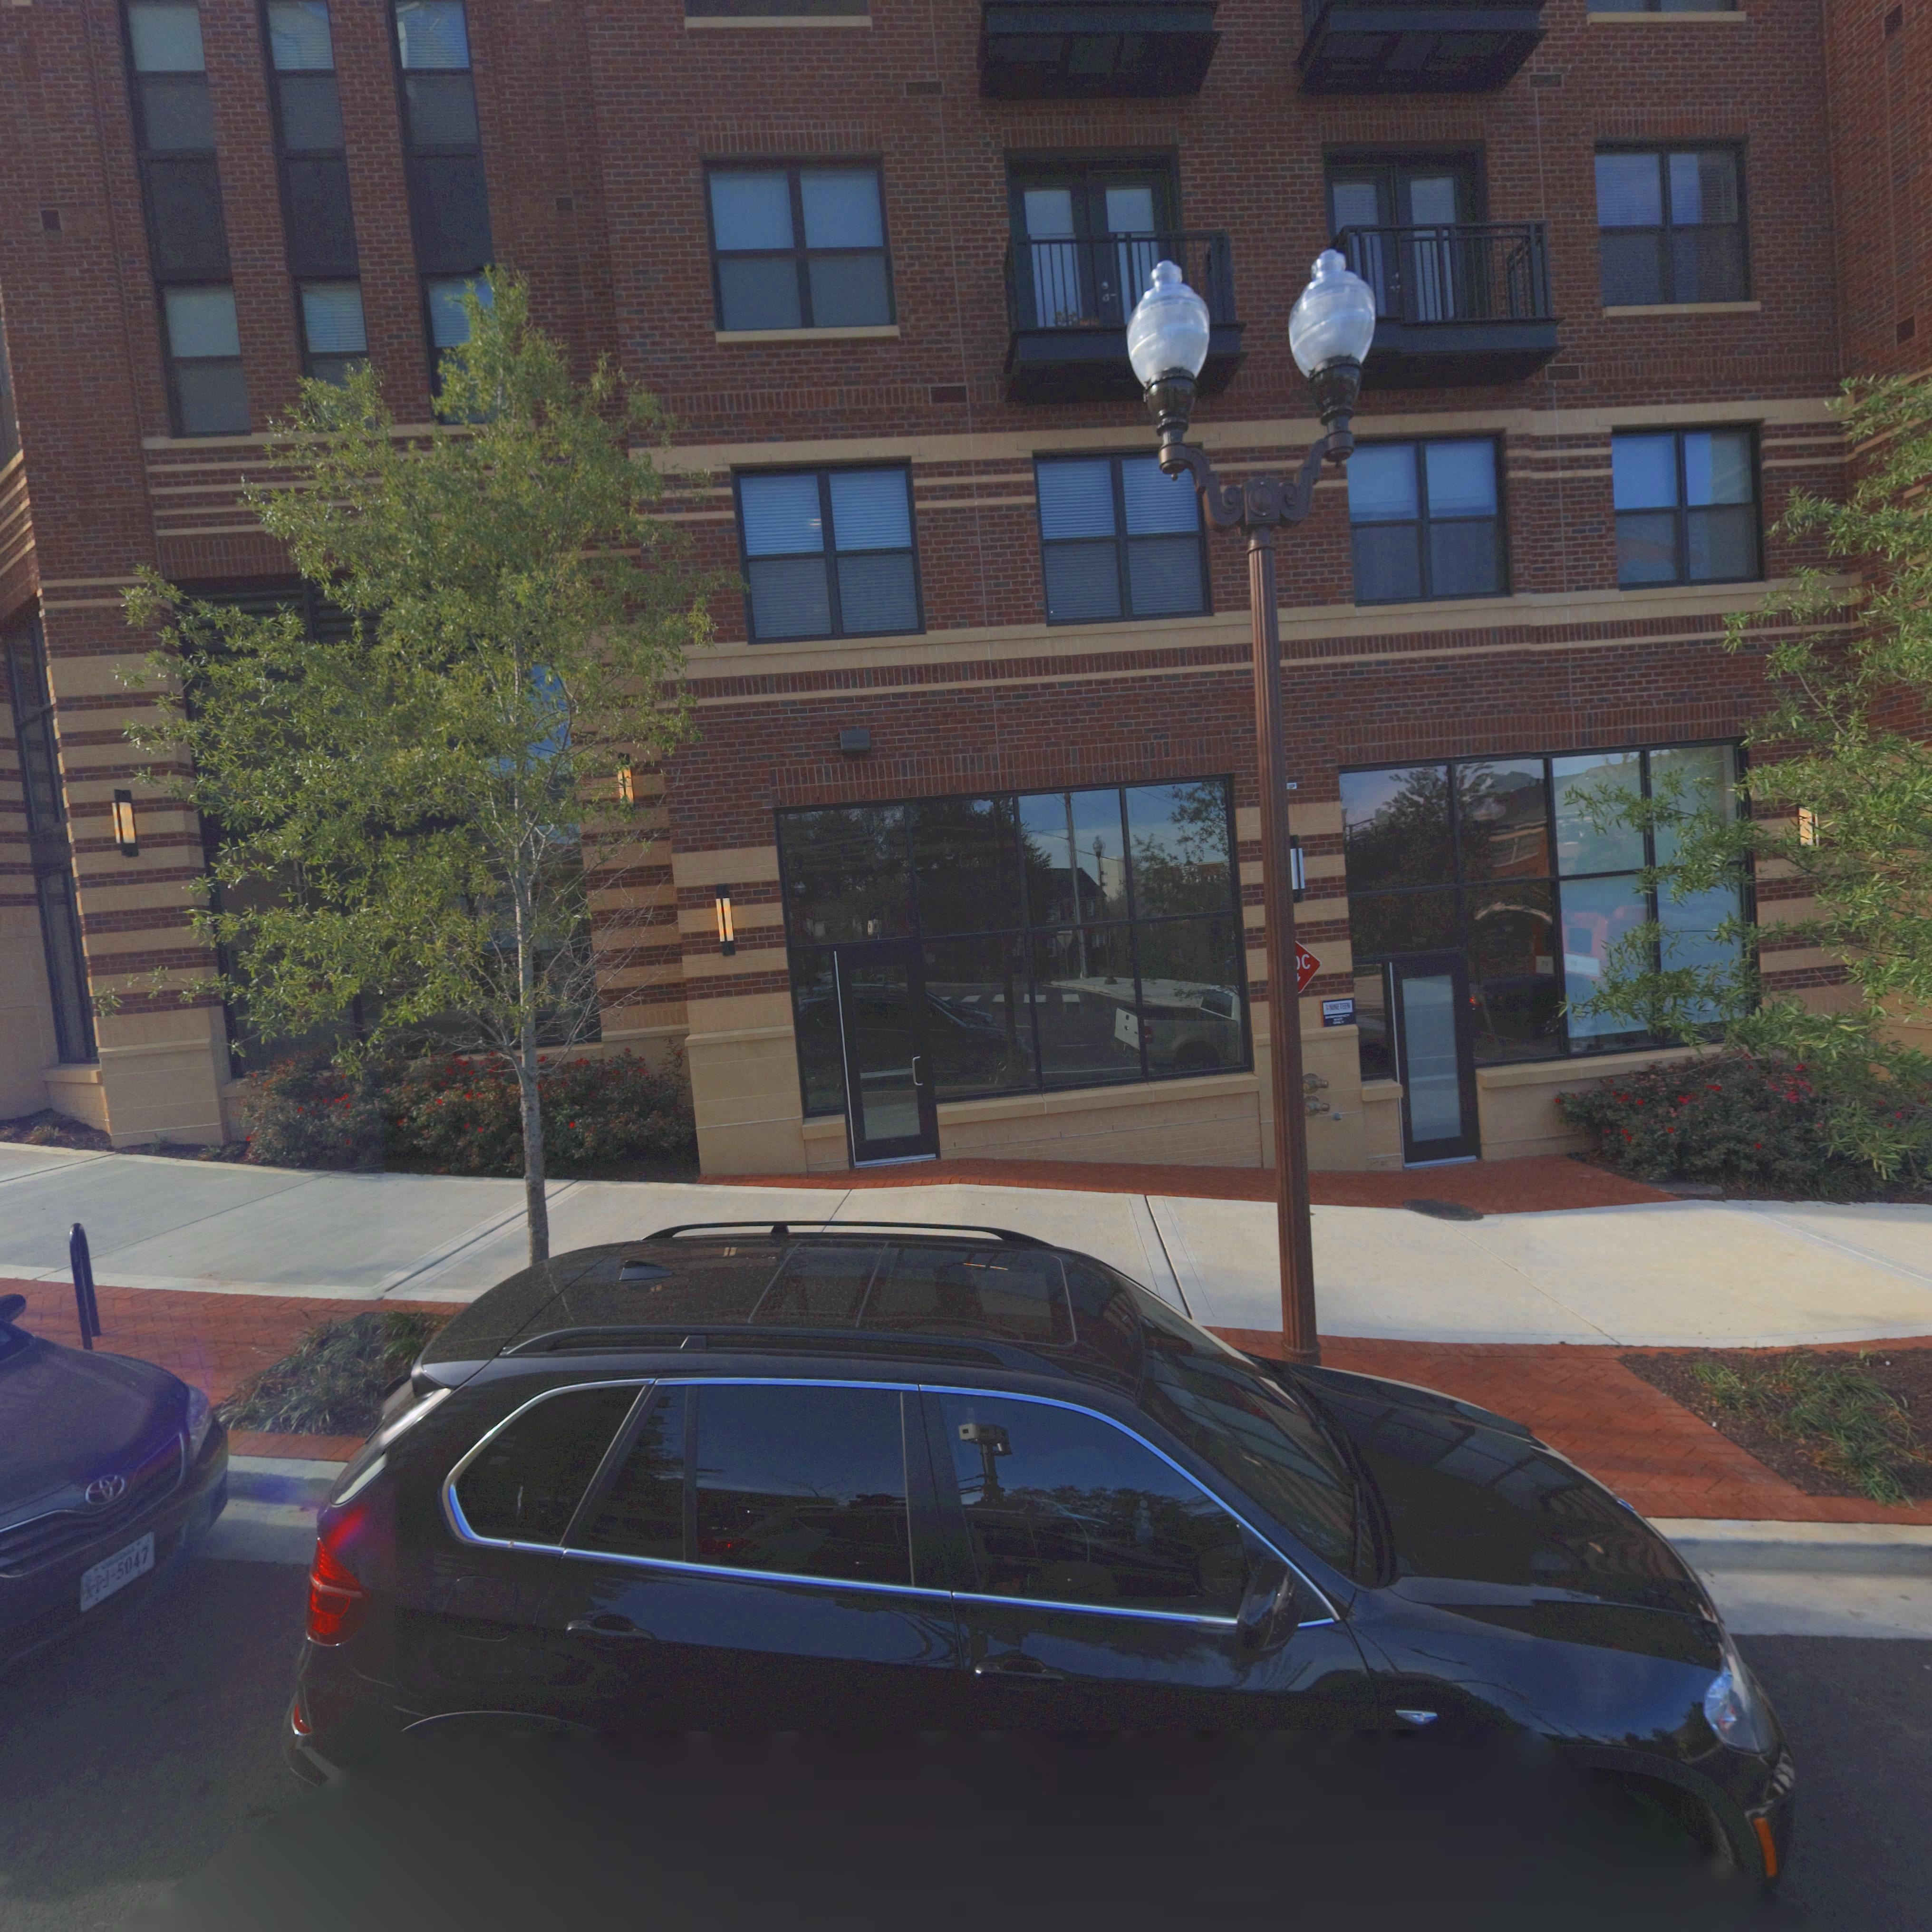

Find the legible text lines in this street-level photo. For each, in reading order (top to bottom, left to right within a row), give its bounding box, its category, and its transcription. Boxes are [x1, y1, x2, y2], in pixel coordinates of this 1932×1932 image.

[1301, 953, 1311, 970] None: C
[1328, 1001, 1352, 1012] None: NiNETEEN
[113, 1541, 151, 1584] None: 5047